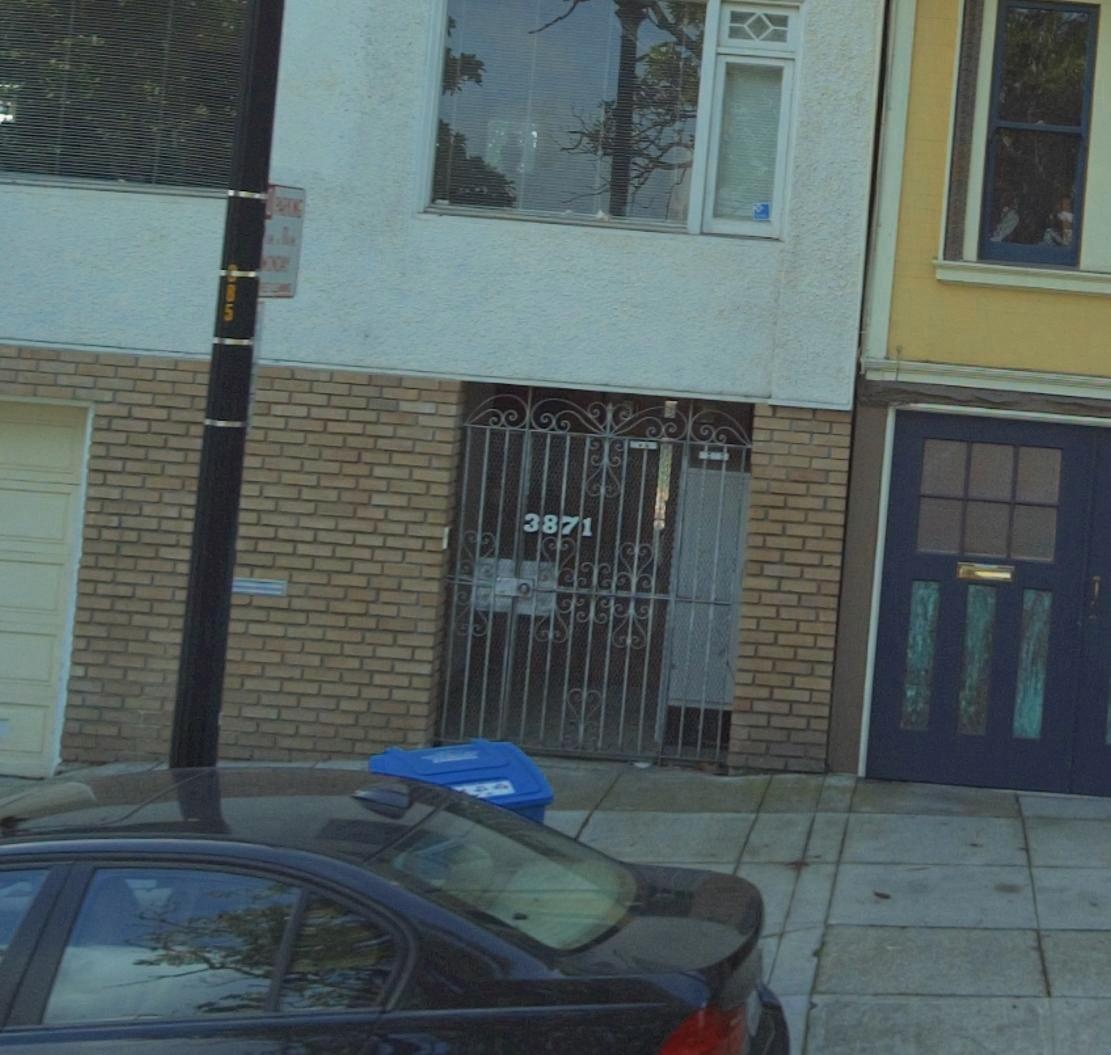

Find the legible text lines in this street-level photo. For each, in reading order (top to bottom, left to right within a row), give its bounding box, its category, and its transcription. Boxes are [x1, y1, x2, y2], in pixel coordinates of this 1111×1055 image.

[269, 195, 306, 223] None: PARKING
[222, 263, 240, 326] None: *85
[520, 511, 595, 538] StreetNumber: 3871